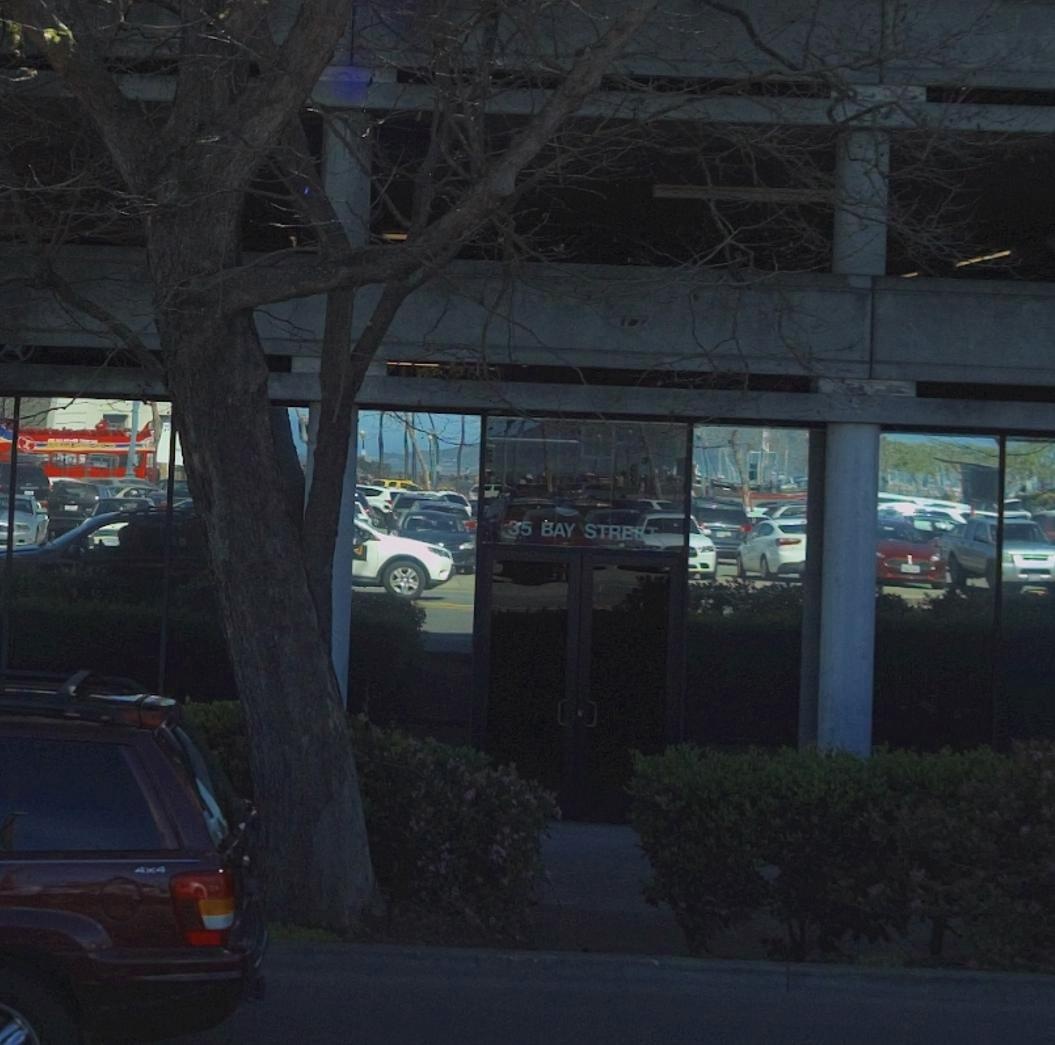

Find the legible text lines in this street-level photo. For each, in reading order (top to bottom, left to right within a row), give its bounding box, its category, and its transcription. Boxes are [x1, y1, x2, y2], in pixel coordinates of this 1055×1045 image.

[505, 518, 534, 539] StreetNumber: 35
[539, 520, 661, 545] StreetName: BAY STREET
[131, 864, 166, 875] None: 4X4